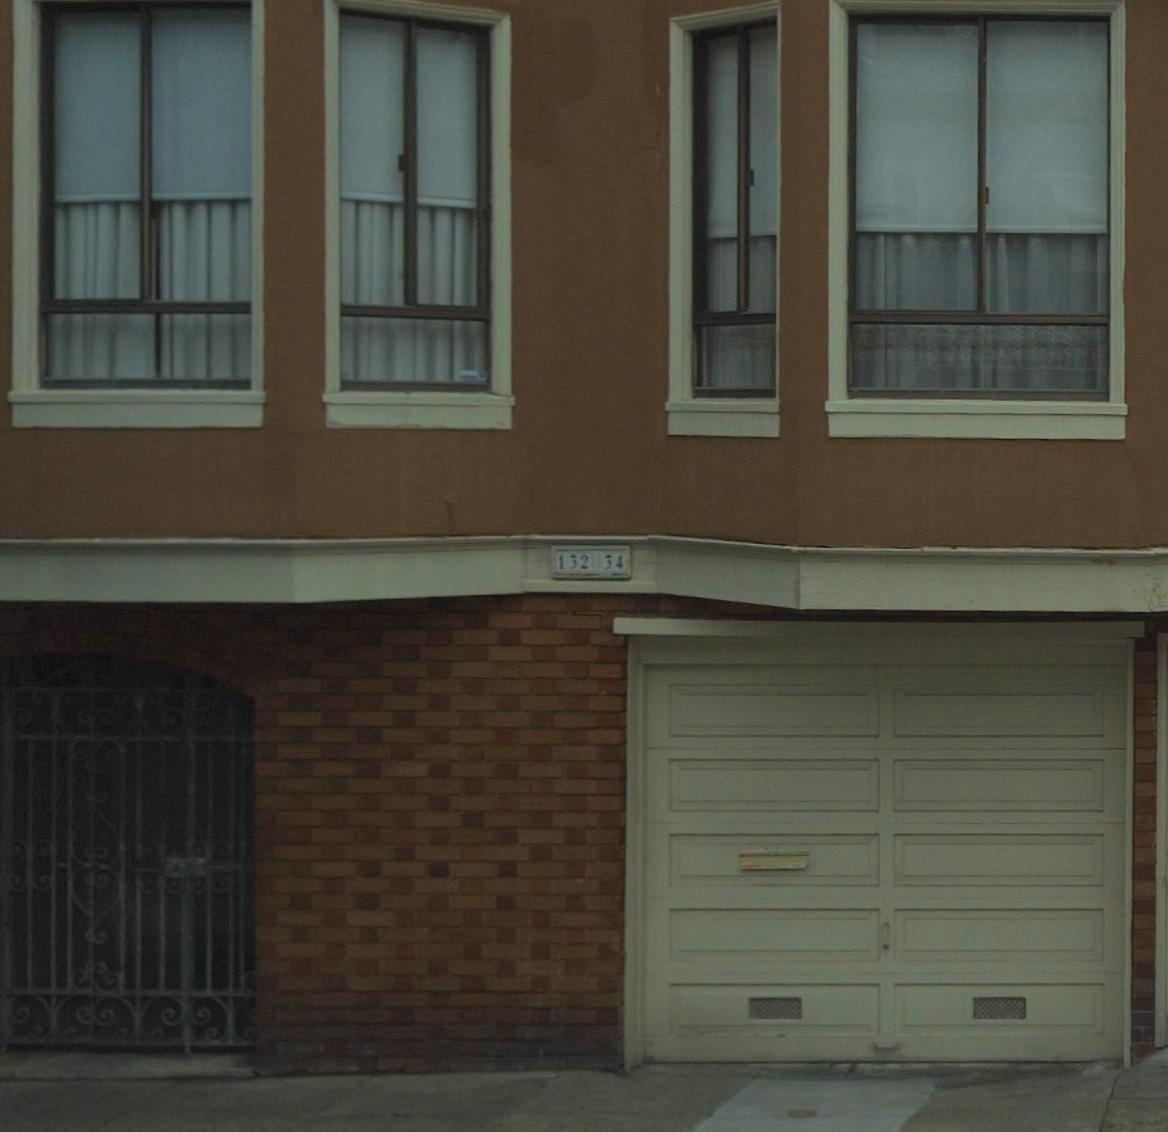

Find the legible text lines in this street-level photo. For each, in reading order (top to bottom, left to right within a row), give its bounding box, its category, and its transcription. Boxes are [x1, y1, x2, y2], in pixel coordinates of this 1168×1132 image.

[557, 552, 625, 572] StreetNumber: 132 34